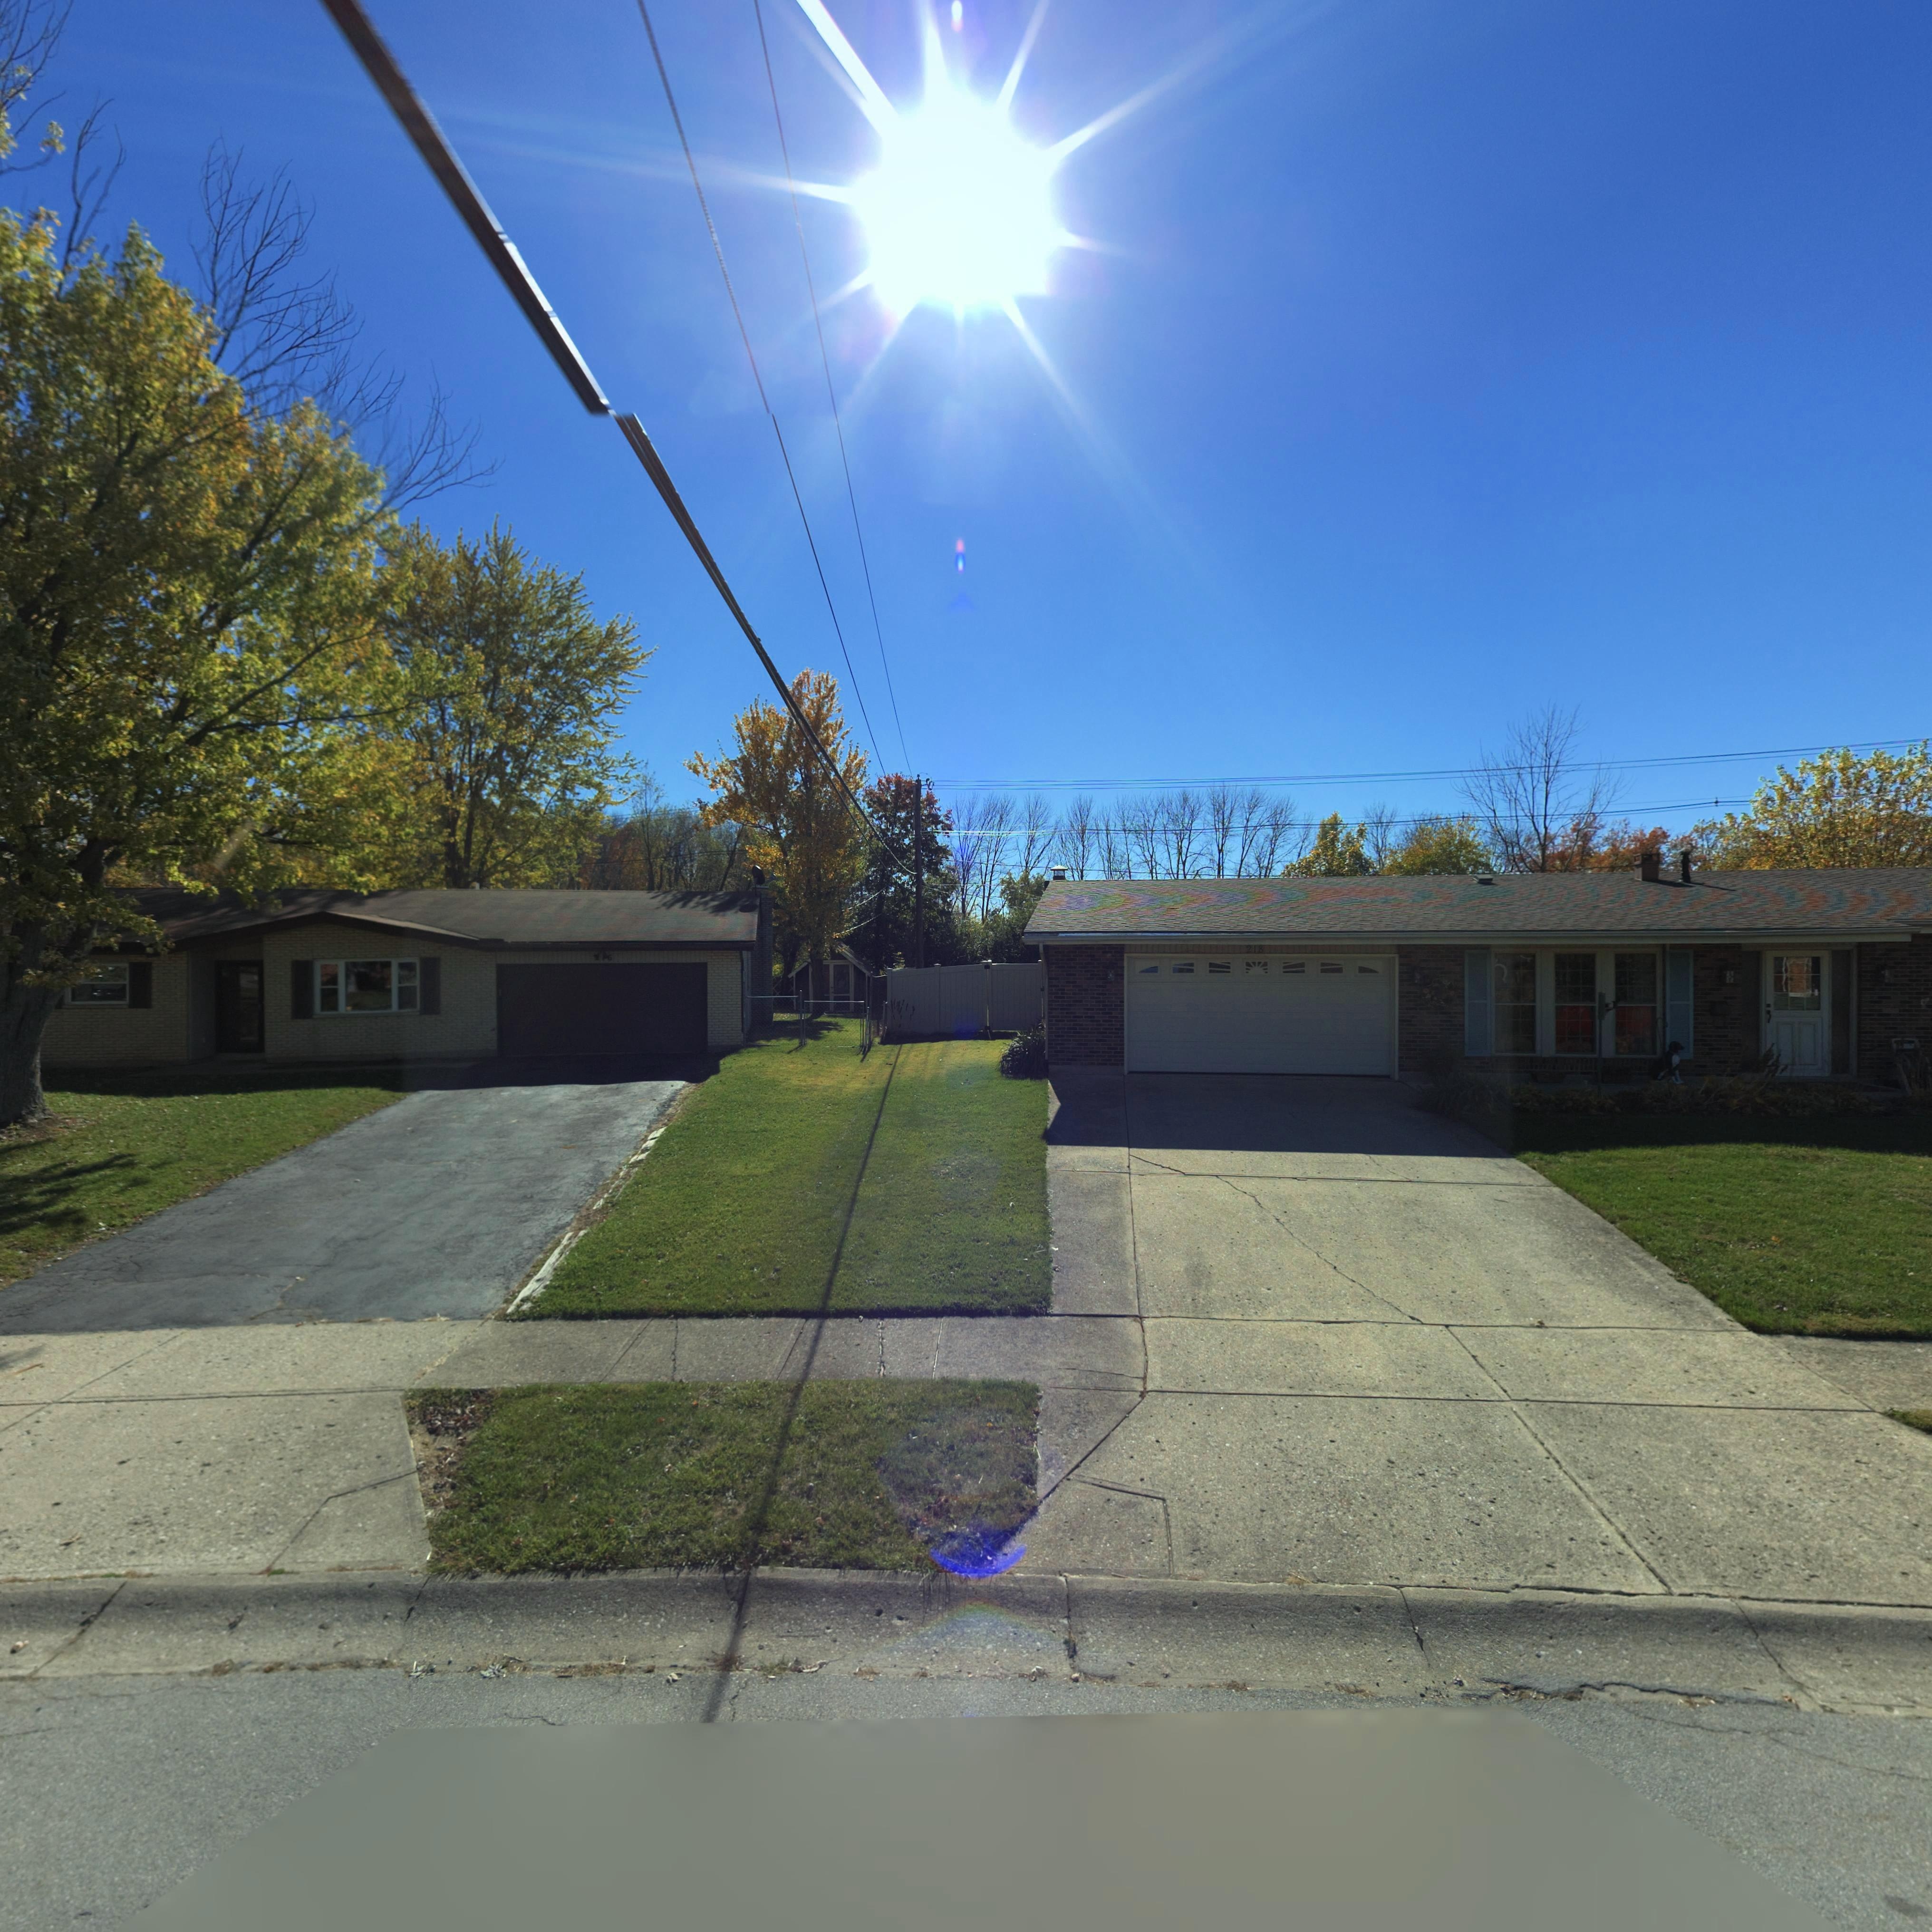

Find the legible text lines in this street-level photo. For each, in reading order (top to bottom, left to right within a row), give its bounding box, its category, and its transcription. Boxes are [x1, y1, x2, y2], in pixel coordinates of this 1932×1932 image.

[1246, 945, 1264, 953] StreetNumber: 218
[593, 954, 613, 961] StreetNumber: *16